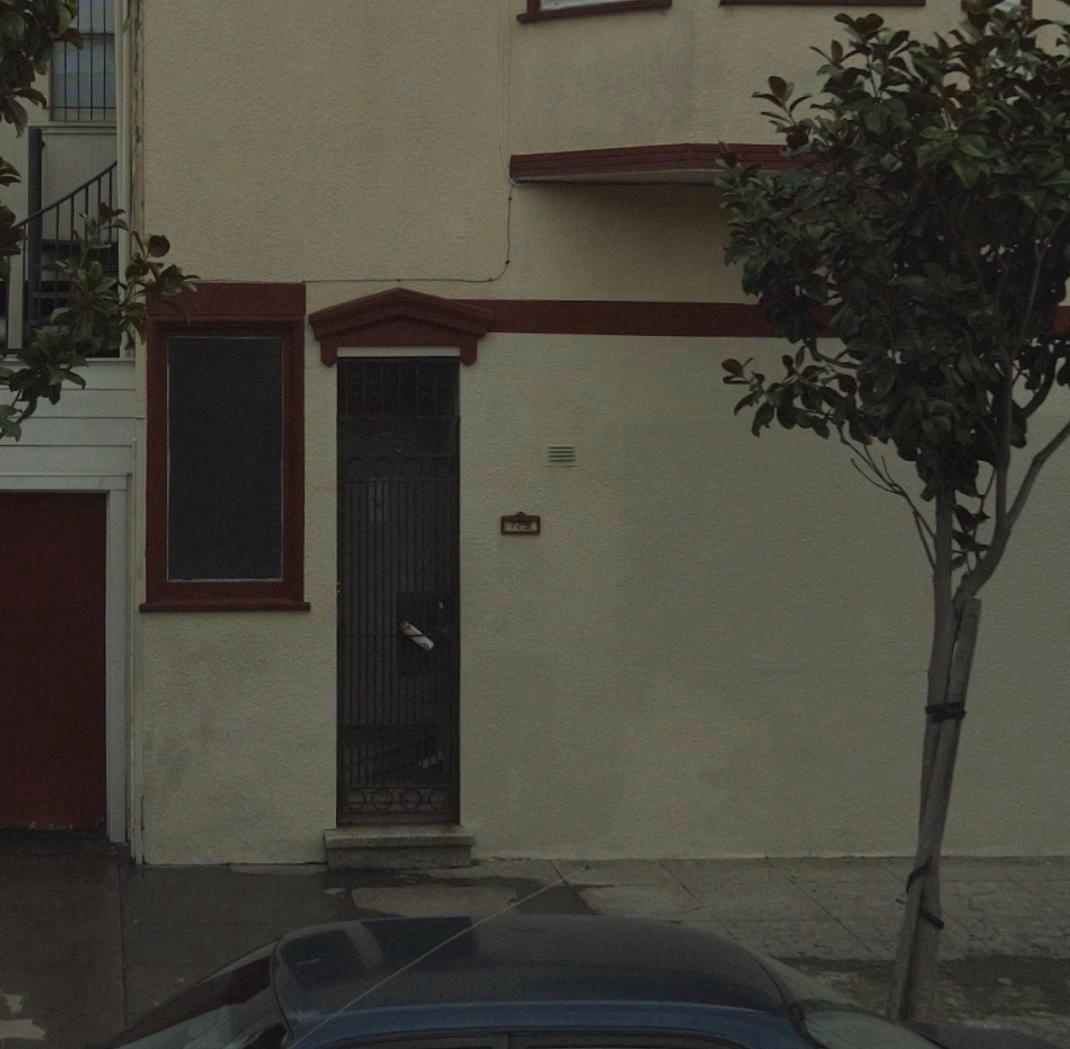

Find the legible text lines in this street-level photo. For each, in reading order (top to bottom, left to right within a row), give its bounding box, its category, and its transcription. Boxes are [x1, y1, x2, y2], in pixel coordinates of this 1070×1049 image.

[509, 519, 531, 530] StreetNumber: 725